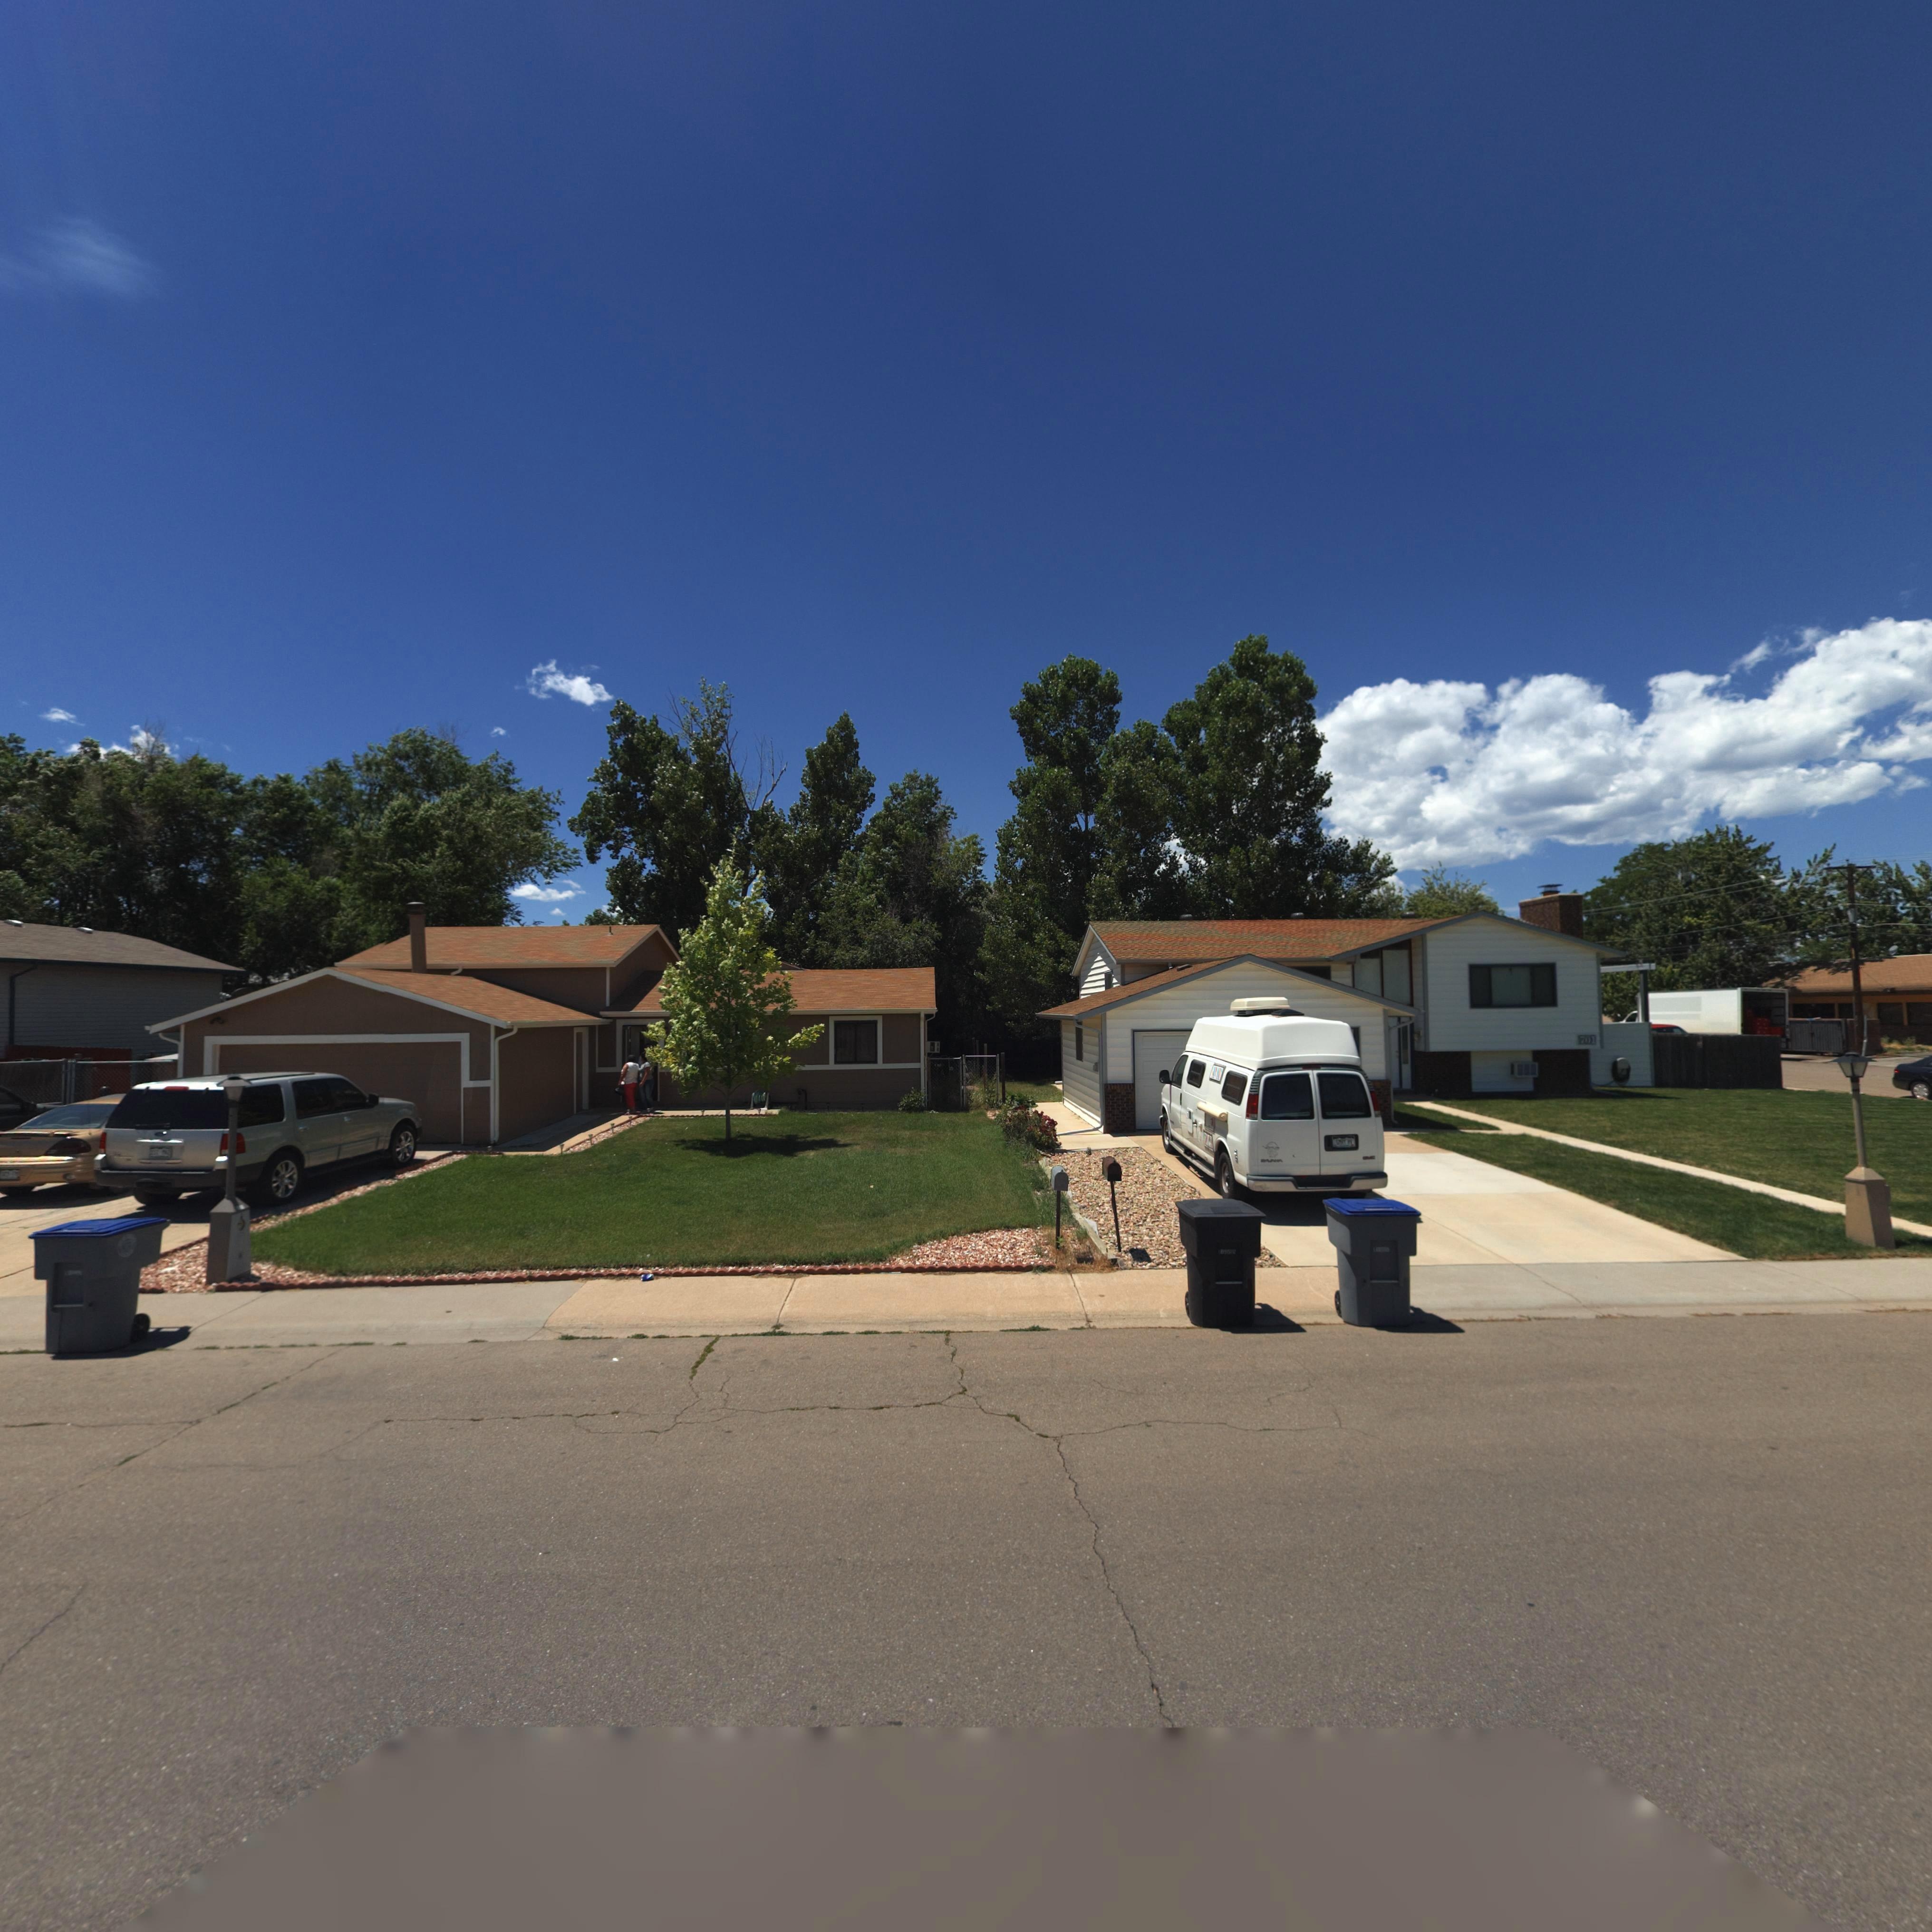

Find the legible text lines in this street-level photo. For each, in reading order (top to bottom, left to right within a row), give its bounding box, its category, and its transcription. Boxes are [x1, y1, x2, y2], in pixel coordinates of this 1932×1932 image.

[1579, 1035, 1596, 1045] StreetNumber: 701